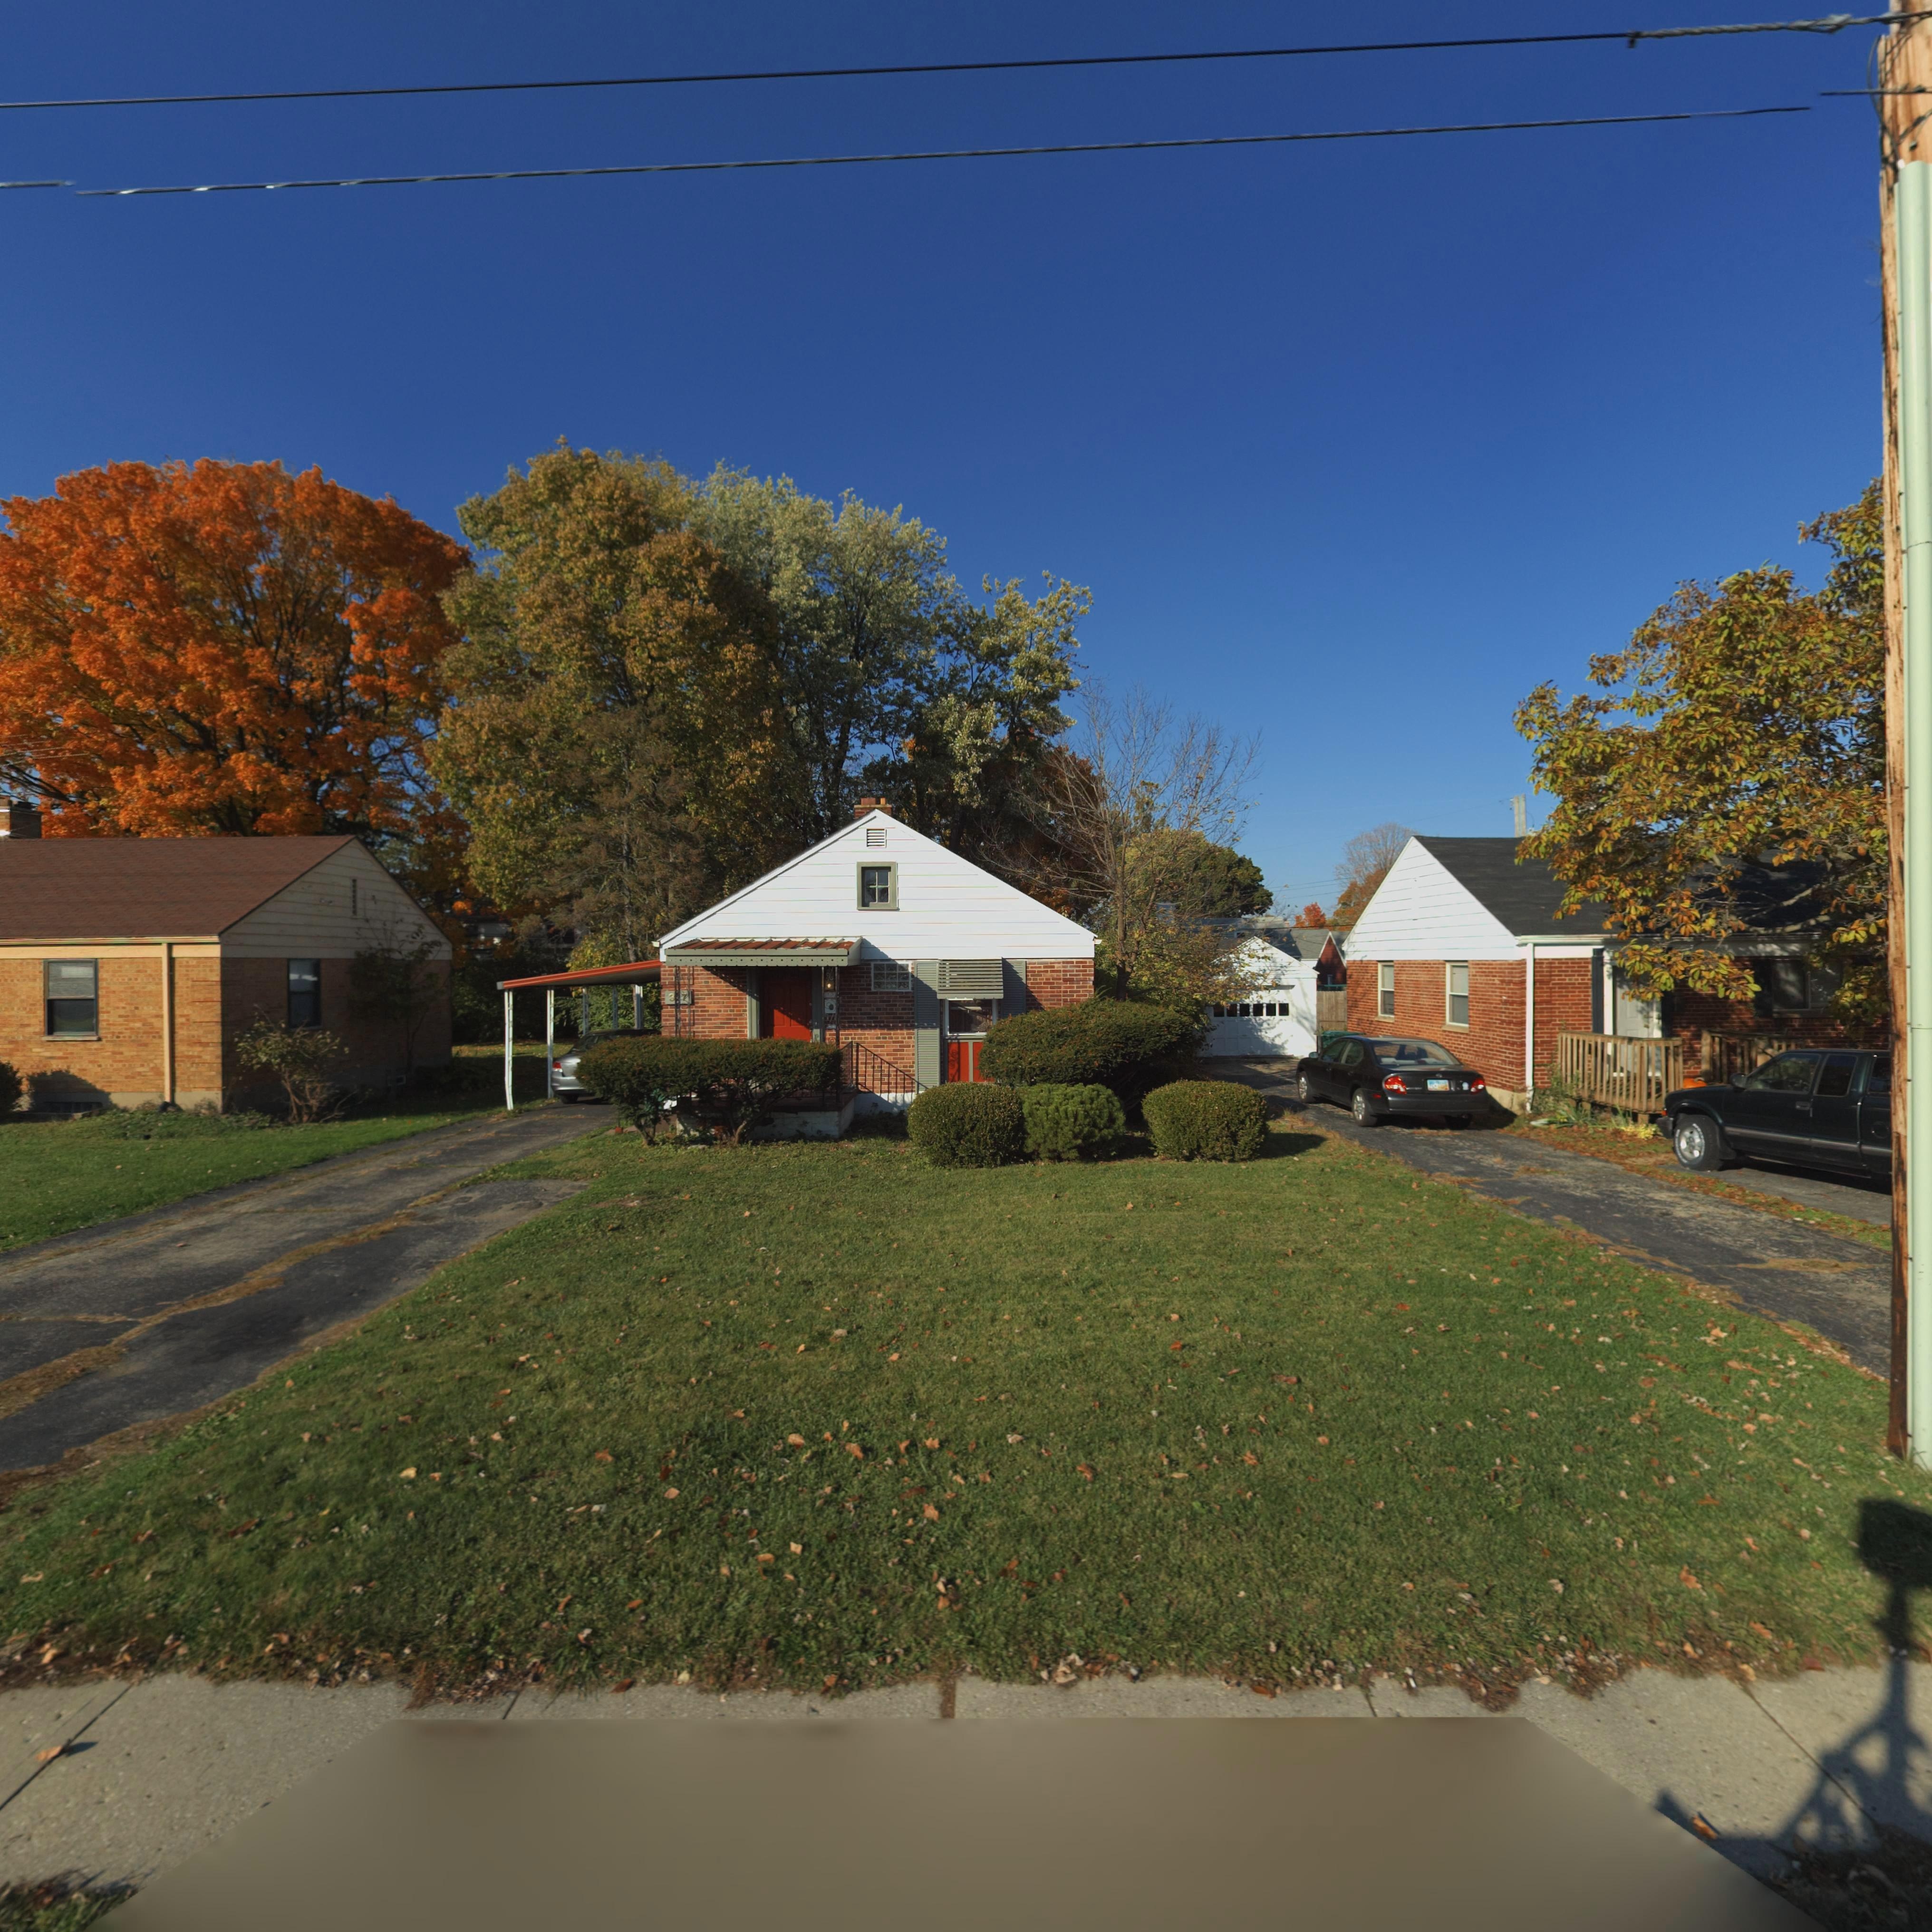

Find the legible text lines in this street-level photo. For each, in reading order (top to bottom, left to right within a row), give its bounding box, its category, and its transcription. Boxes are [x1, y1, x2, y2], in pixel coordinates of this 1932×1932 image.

[668, 992, 688, 1003] StreetNumber: 3*7